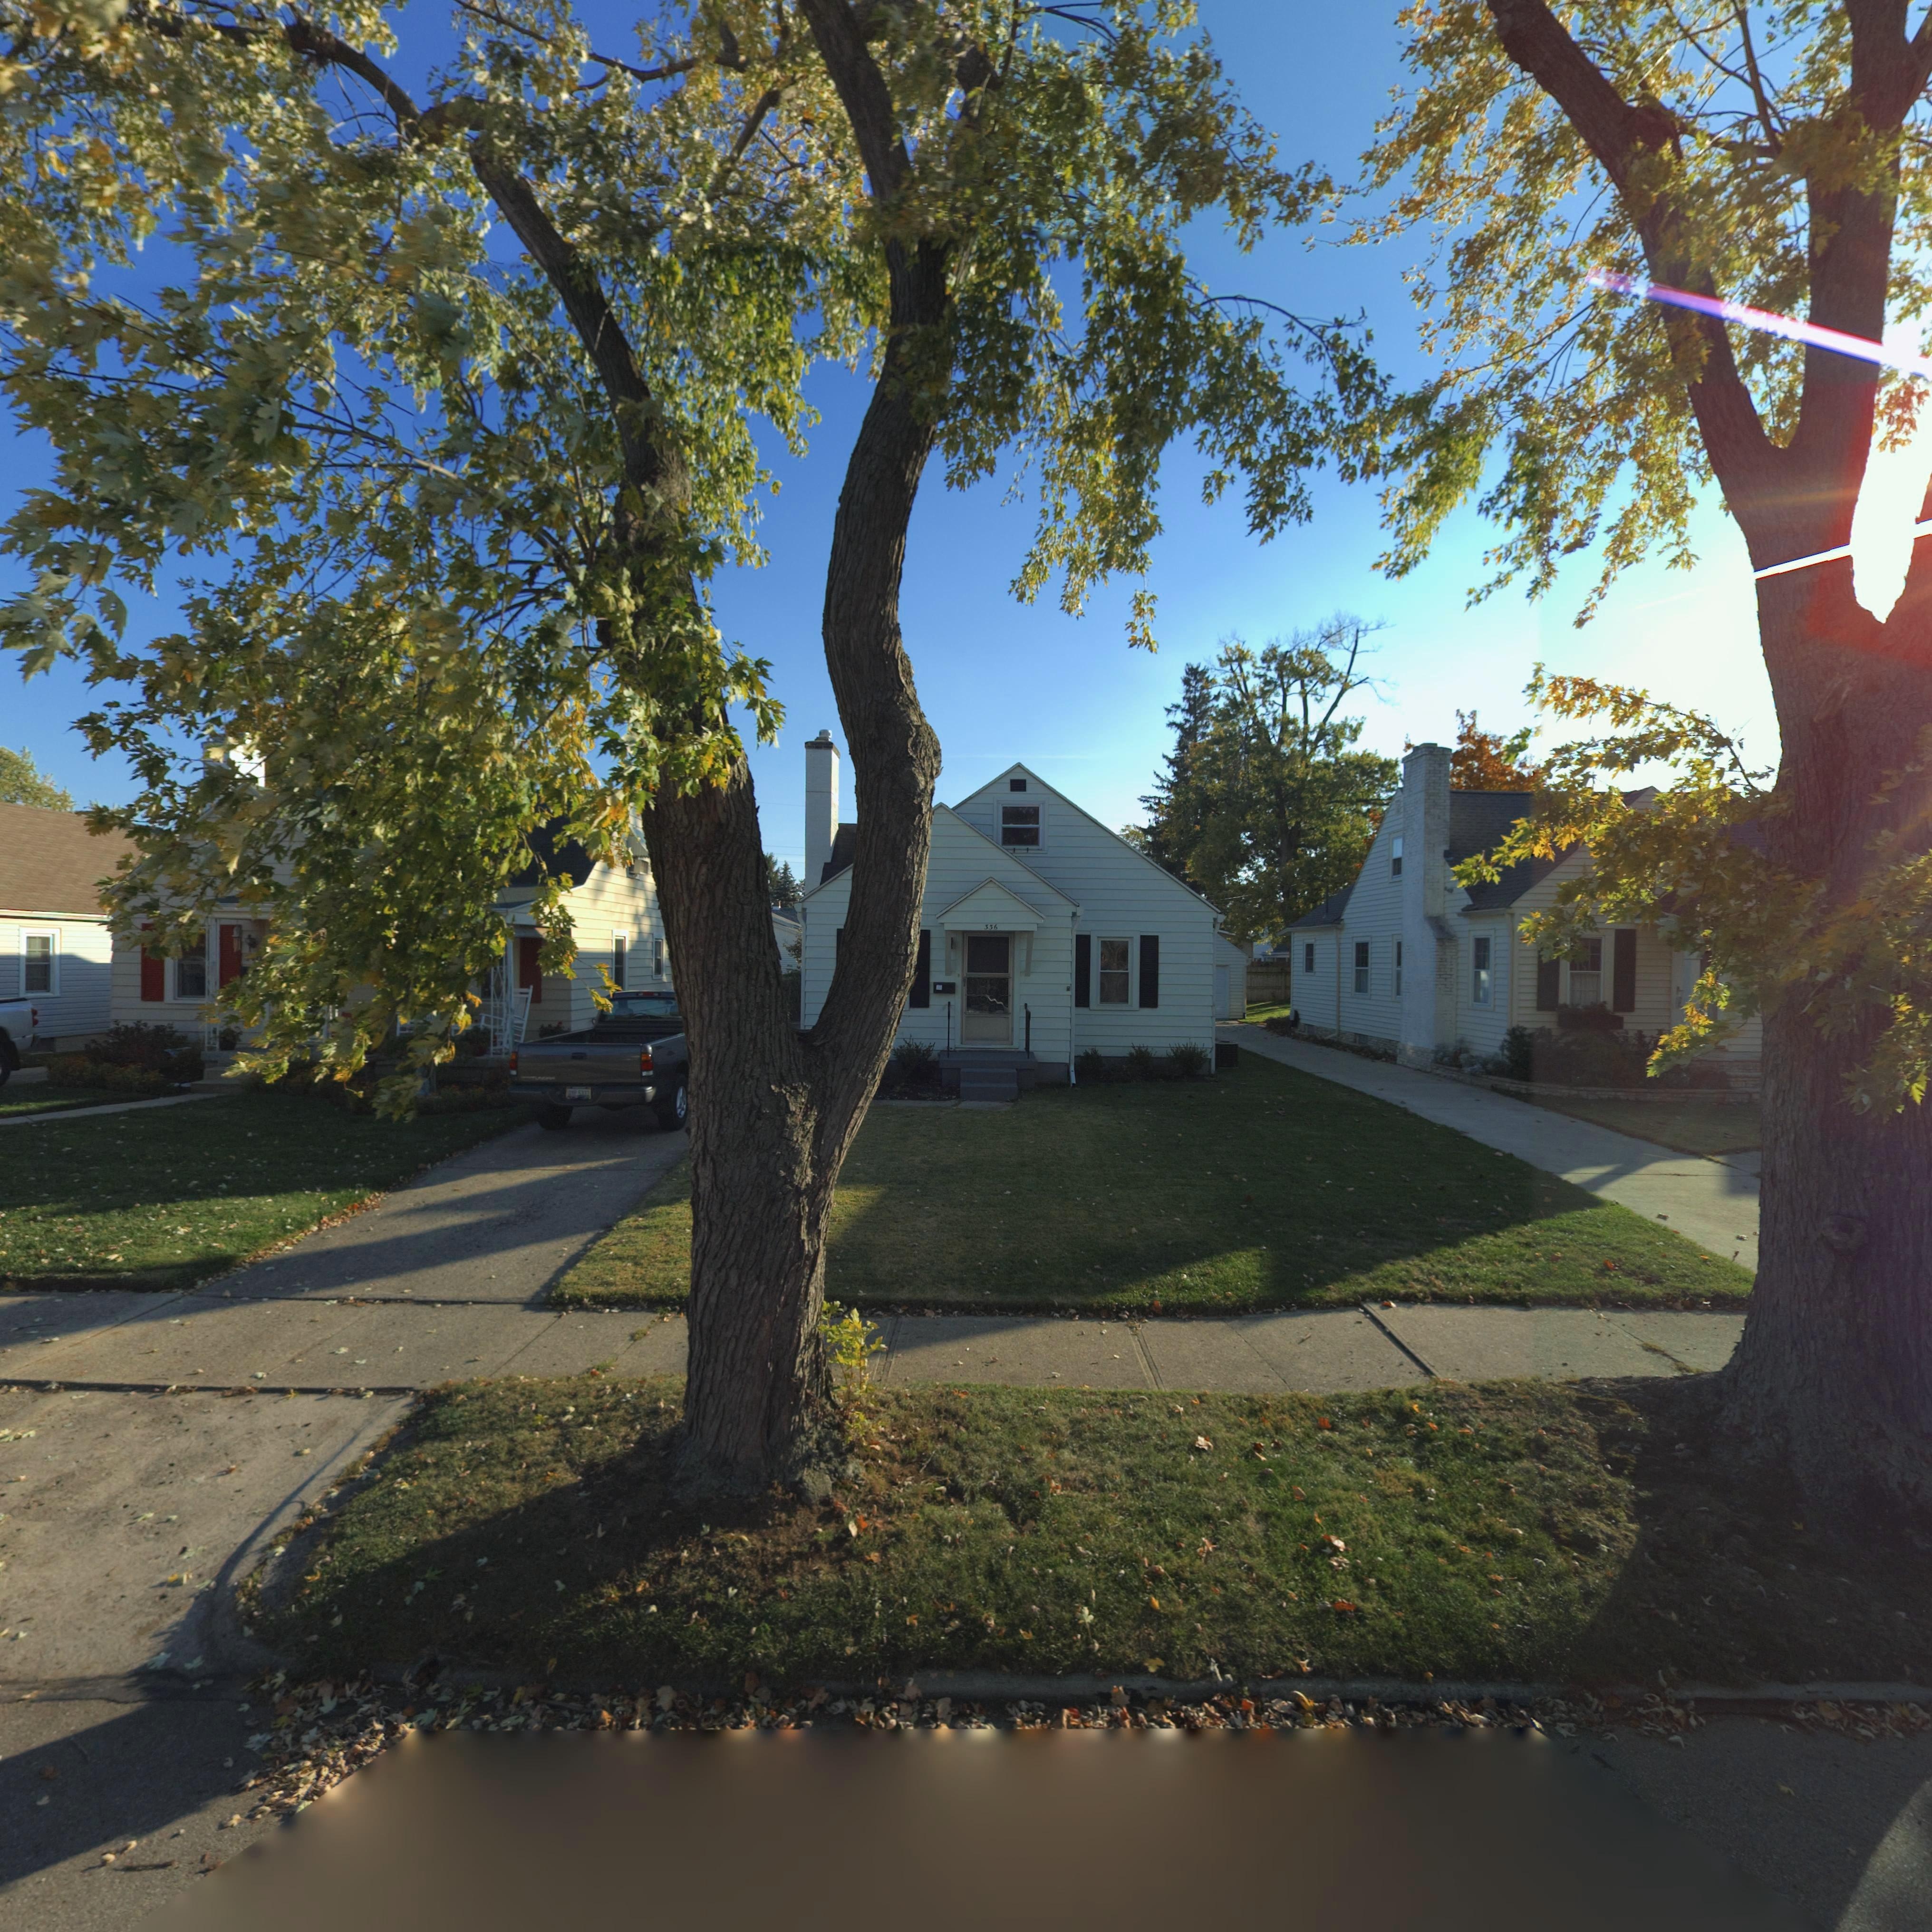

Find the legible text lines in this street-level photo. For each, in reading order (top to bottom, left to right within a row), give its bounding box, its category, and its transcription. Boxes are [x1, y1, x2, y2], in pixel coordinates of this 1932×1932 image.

[983, 924, 998, 930] StreetNumber: 336